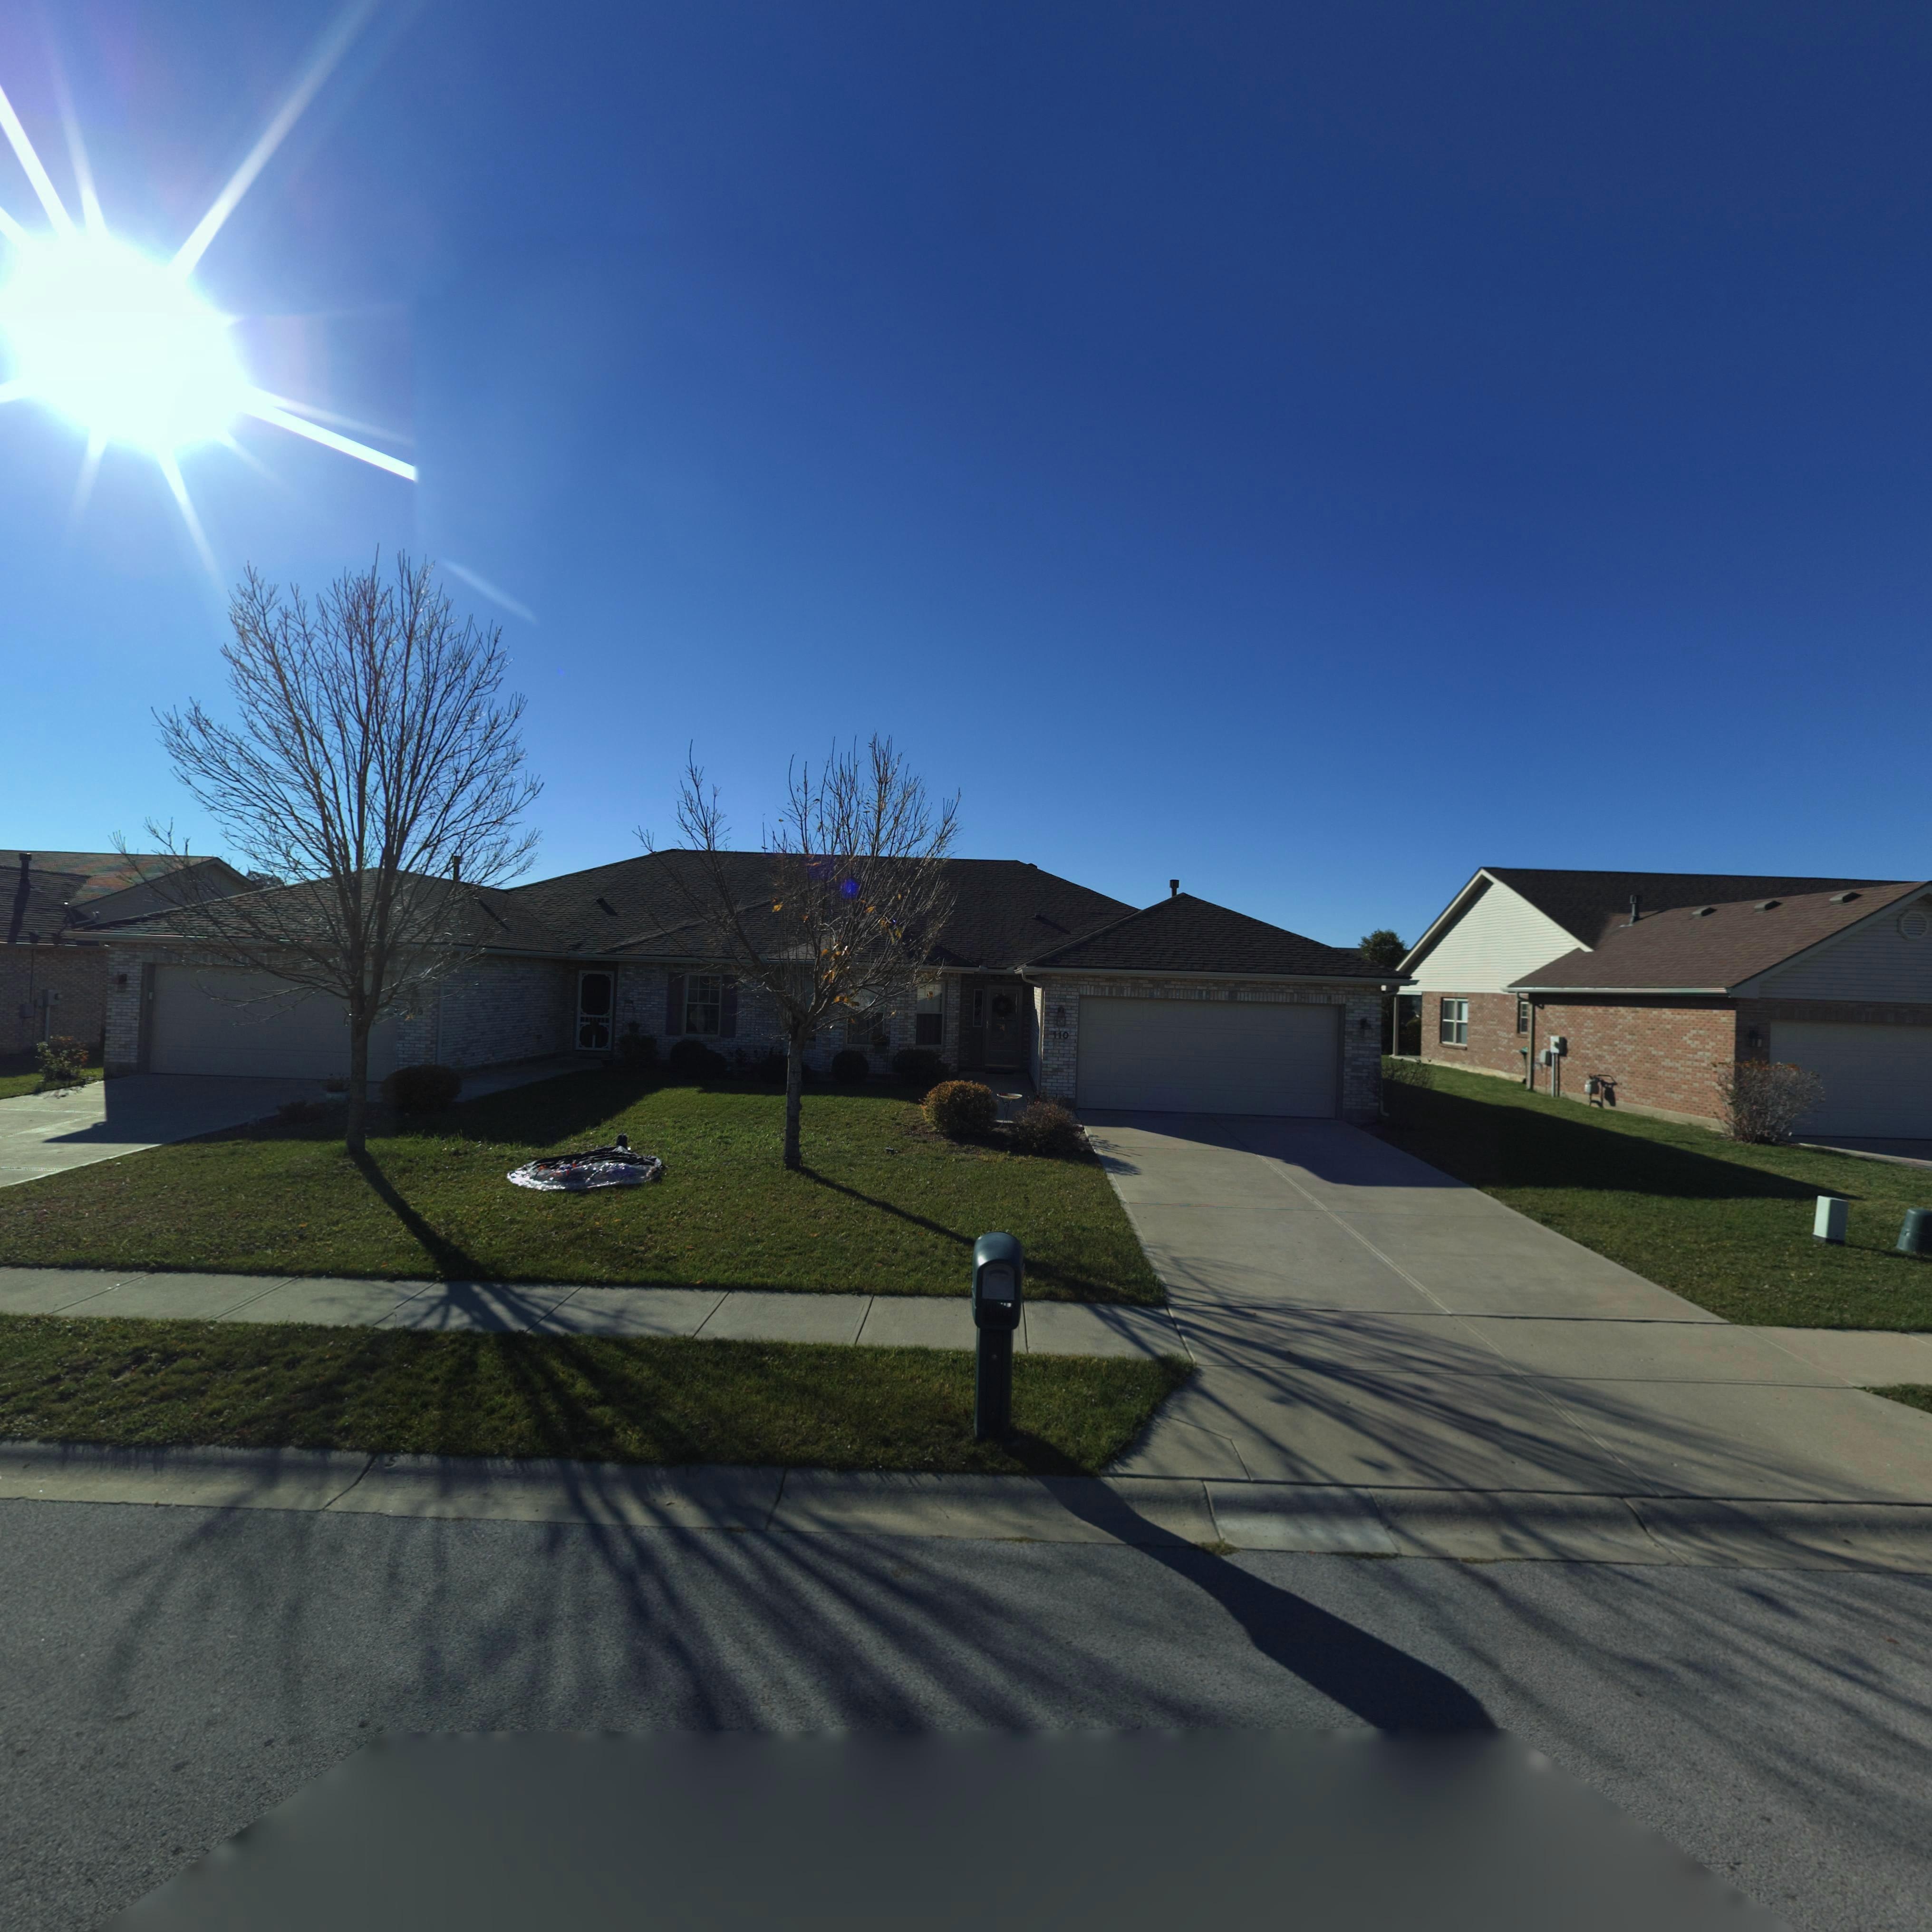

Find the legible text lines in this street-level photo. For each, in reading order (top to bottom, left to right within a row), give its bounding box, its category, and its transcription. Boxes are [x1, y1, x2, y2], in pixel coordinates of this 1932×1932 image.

[1052, 1030, 1070, 1040] StreetNumber: 110